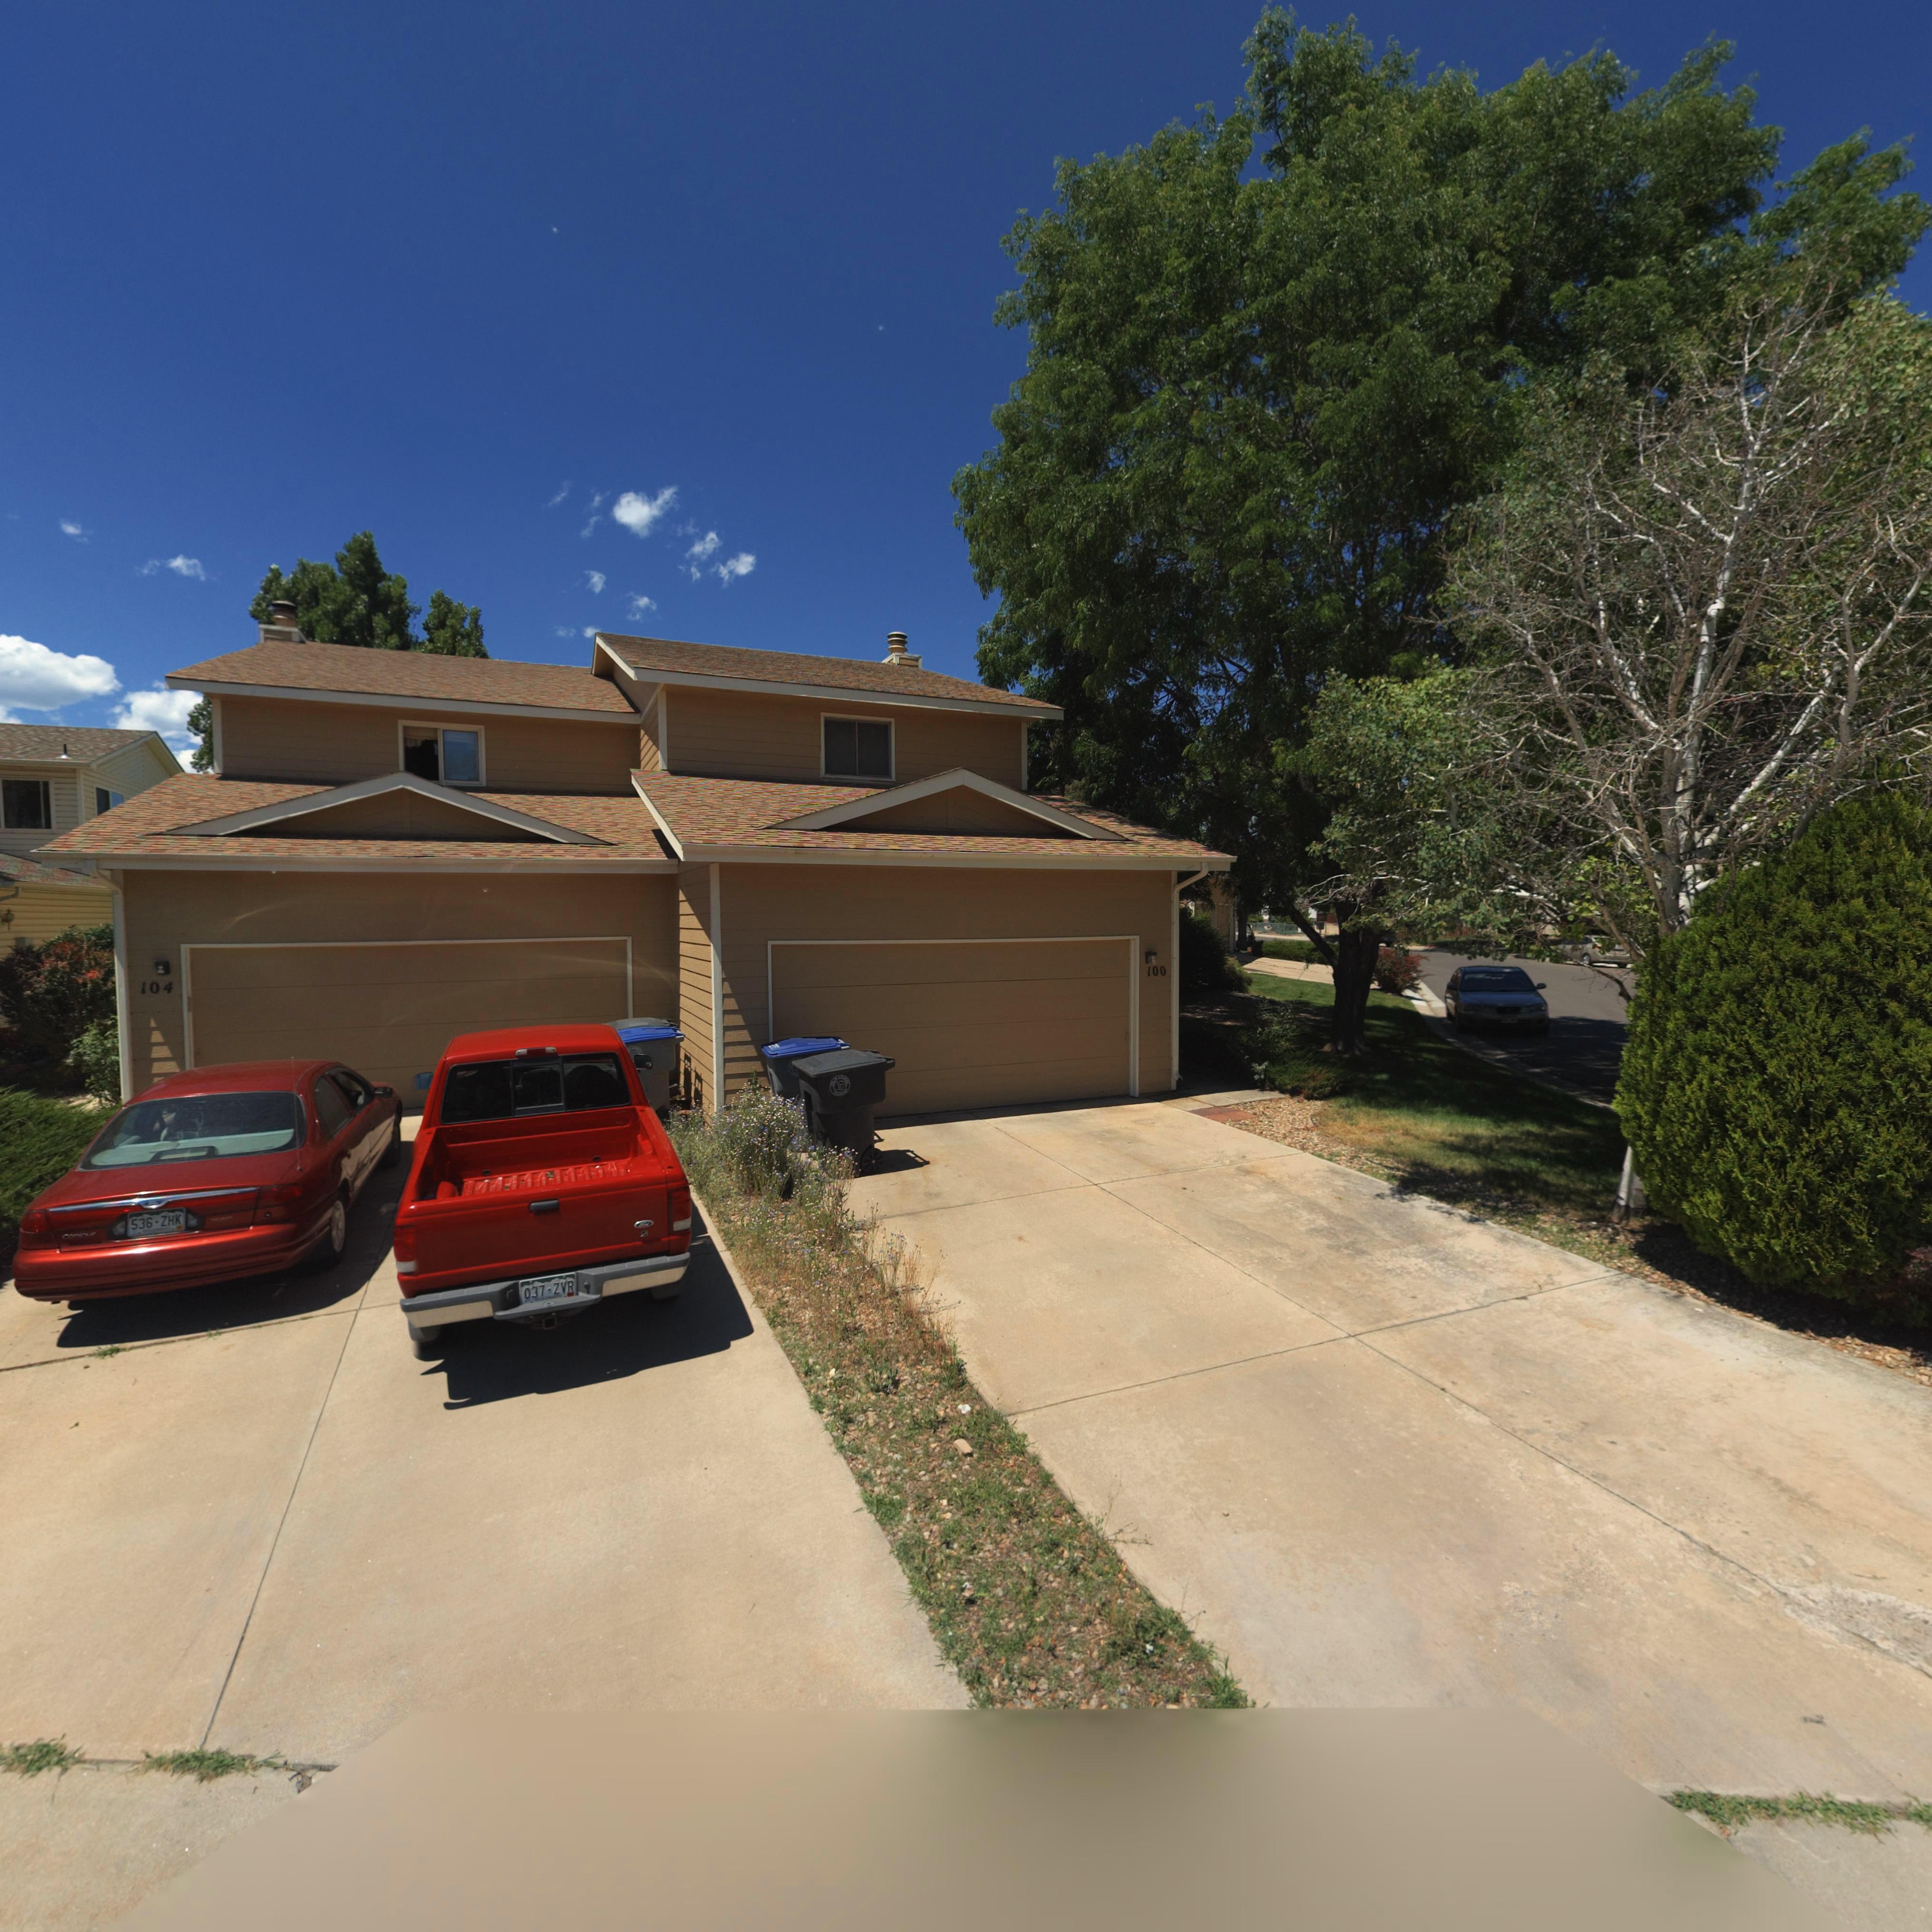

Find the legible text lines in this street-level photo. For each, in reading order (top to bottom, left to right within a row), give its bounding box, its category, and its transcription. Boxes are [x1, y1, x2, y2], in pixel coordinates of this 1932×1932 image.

[1147, 965, 1167, 977] StreetNumber: 100
[139, 980, 174, 995] StreetNumber: 104